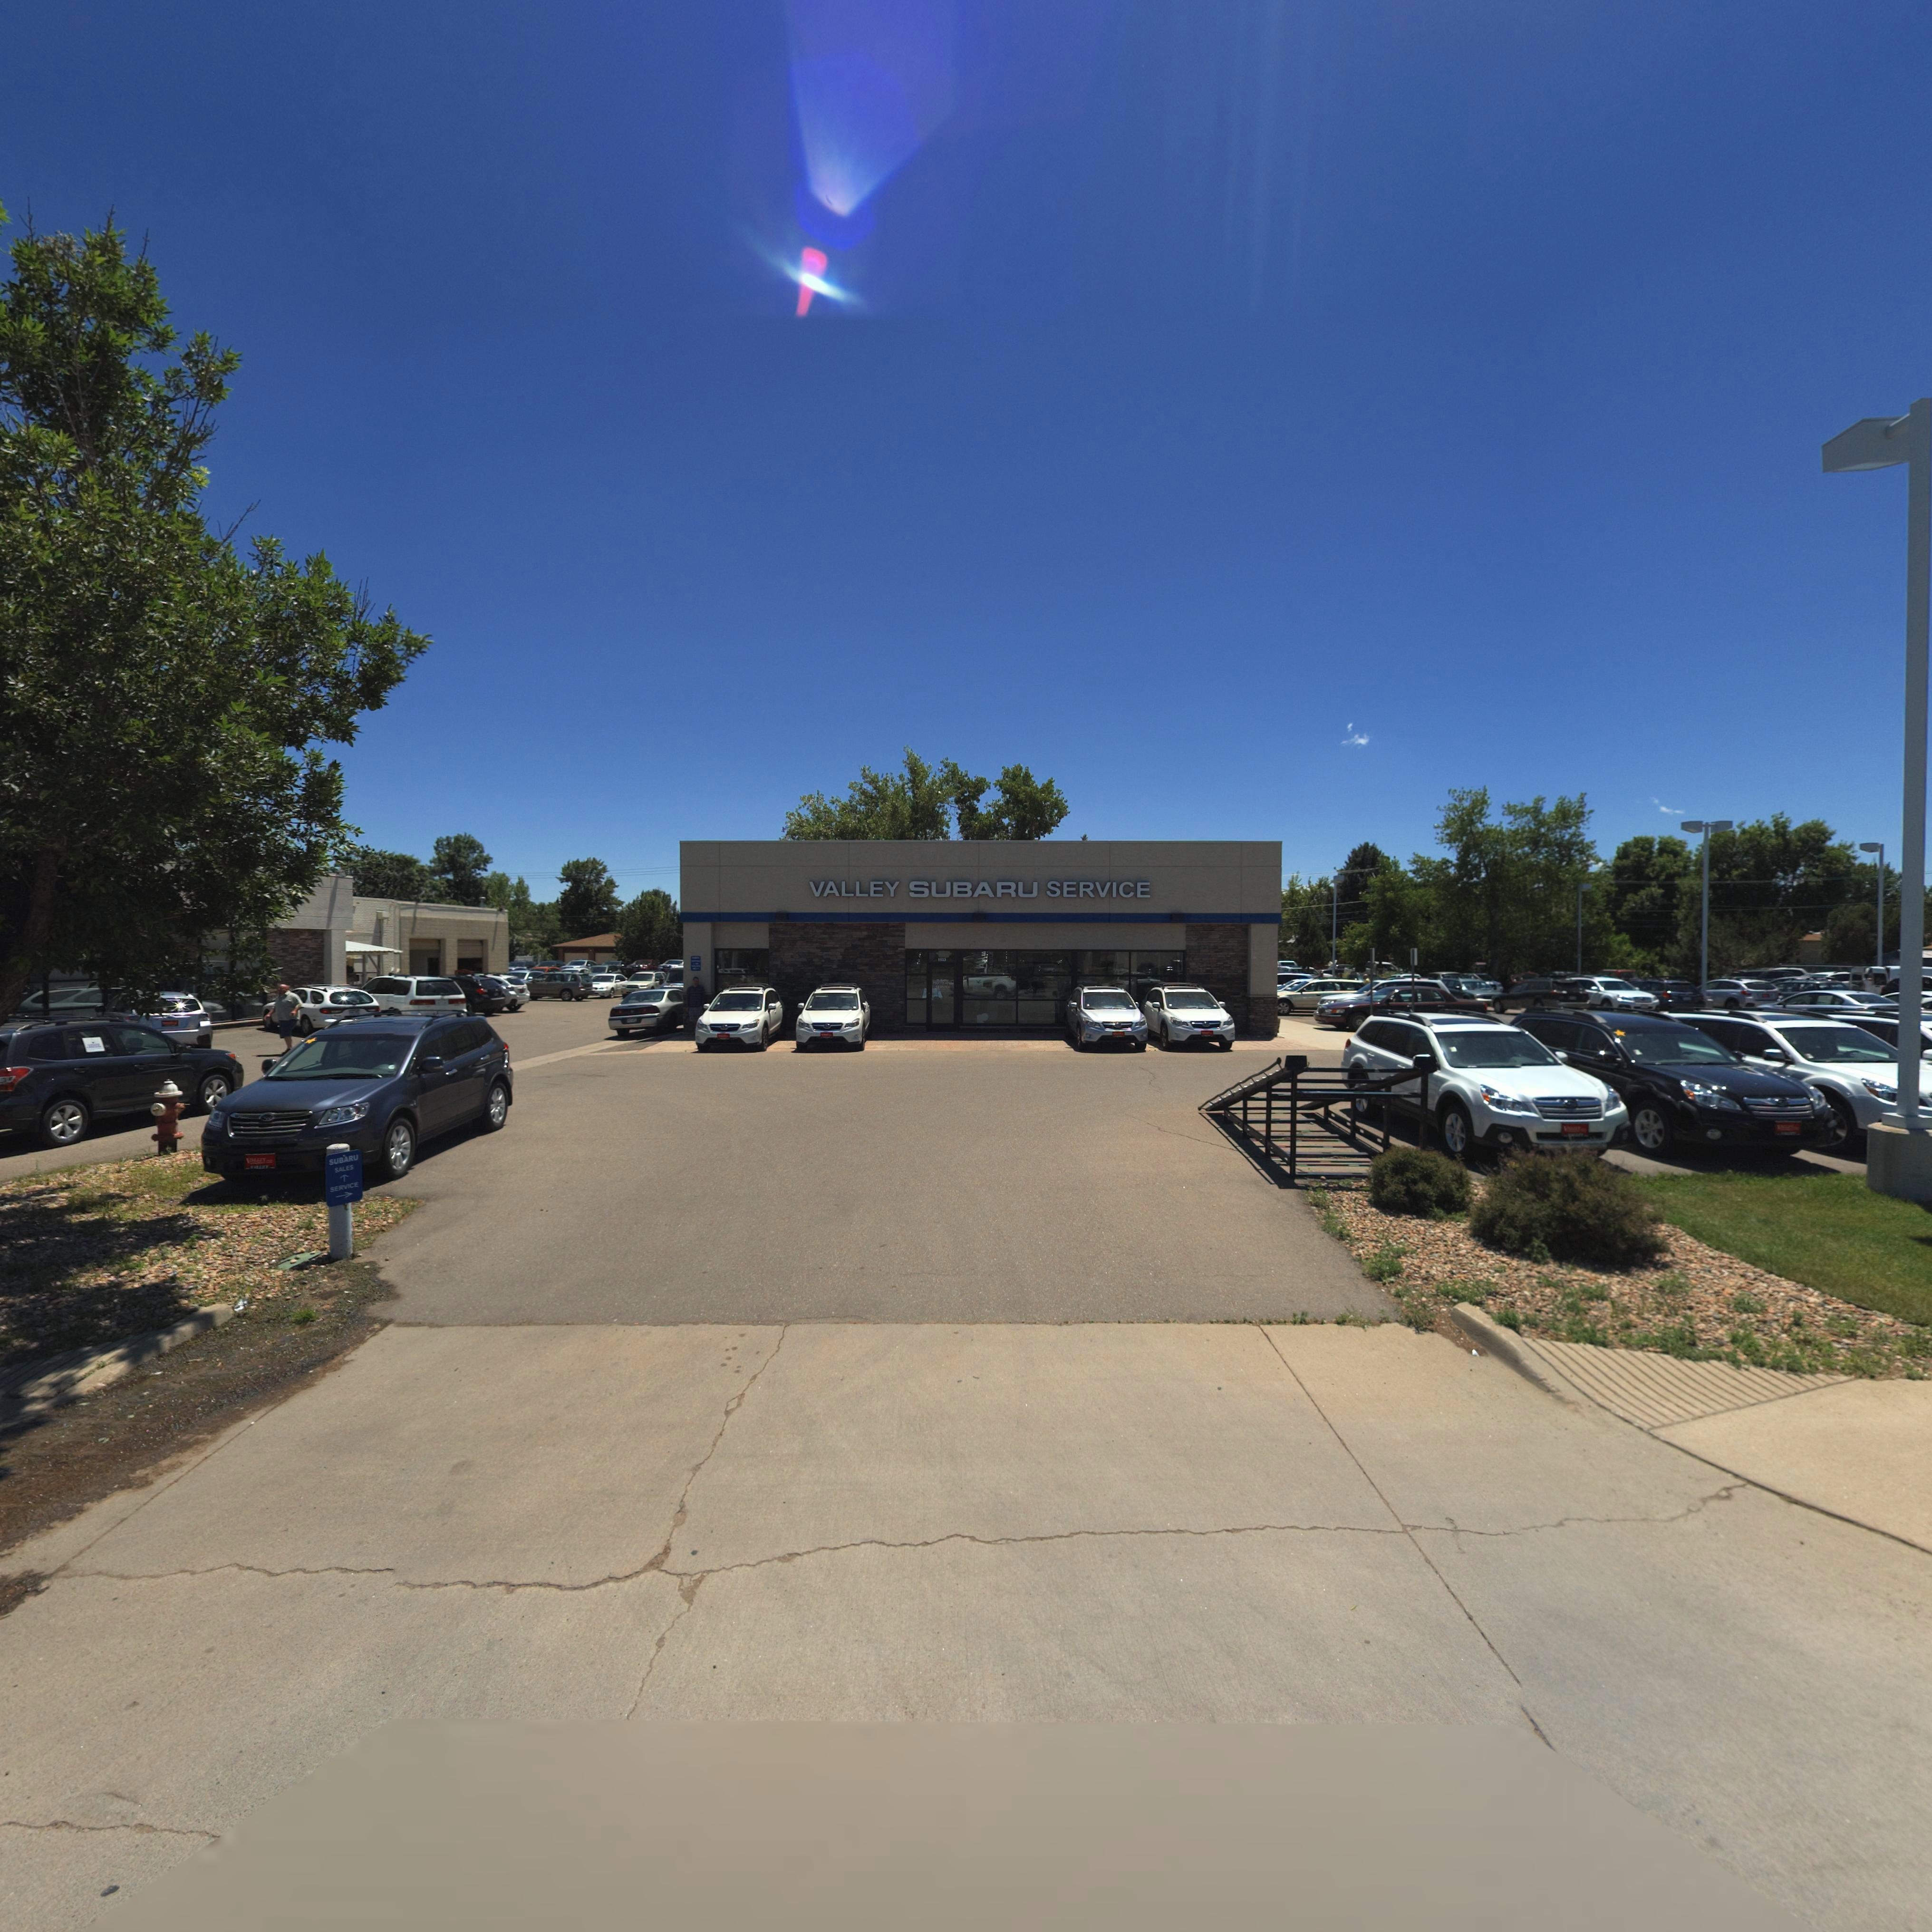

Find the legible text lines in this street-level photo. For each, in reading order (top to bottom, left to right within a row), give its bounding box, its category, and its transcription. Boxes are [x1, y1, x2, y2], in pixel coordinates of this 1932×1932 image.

[808, 880, 1151, 898] BusinessName: VALLEY SUBARU SERVICE
[328, 1154, 358, 1165] BusinessName: SUBARU
[334, 1164, 353, 1173] BusinessName: SALES
[330, 1181, 358, 1192] None: SERVICE